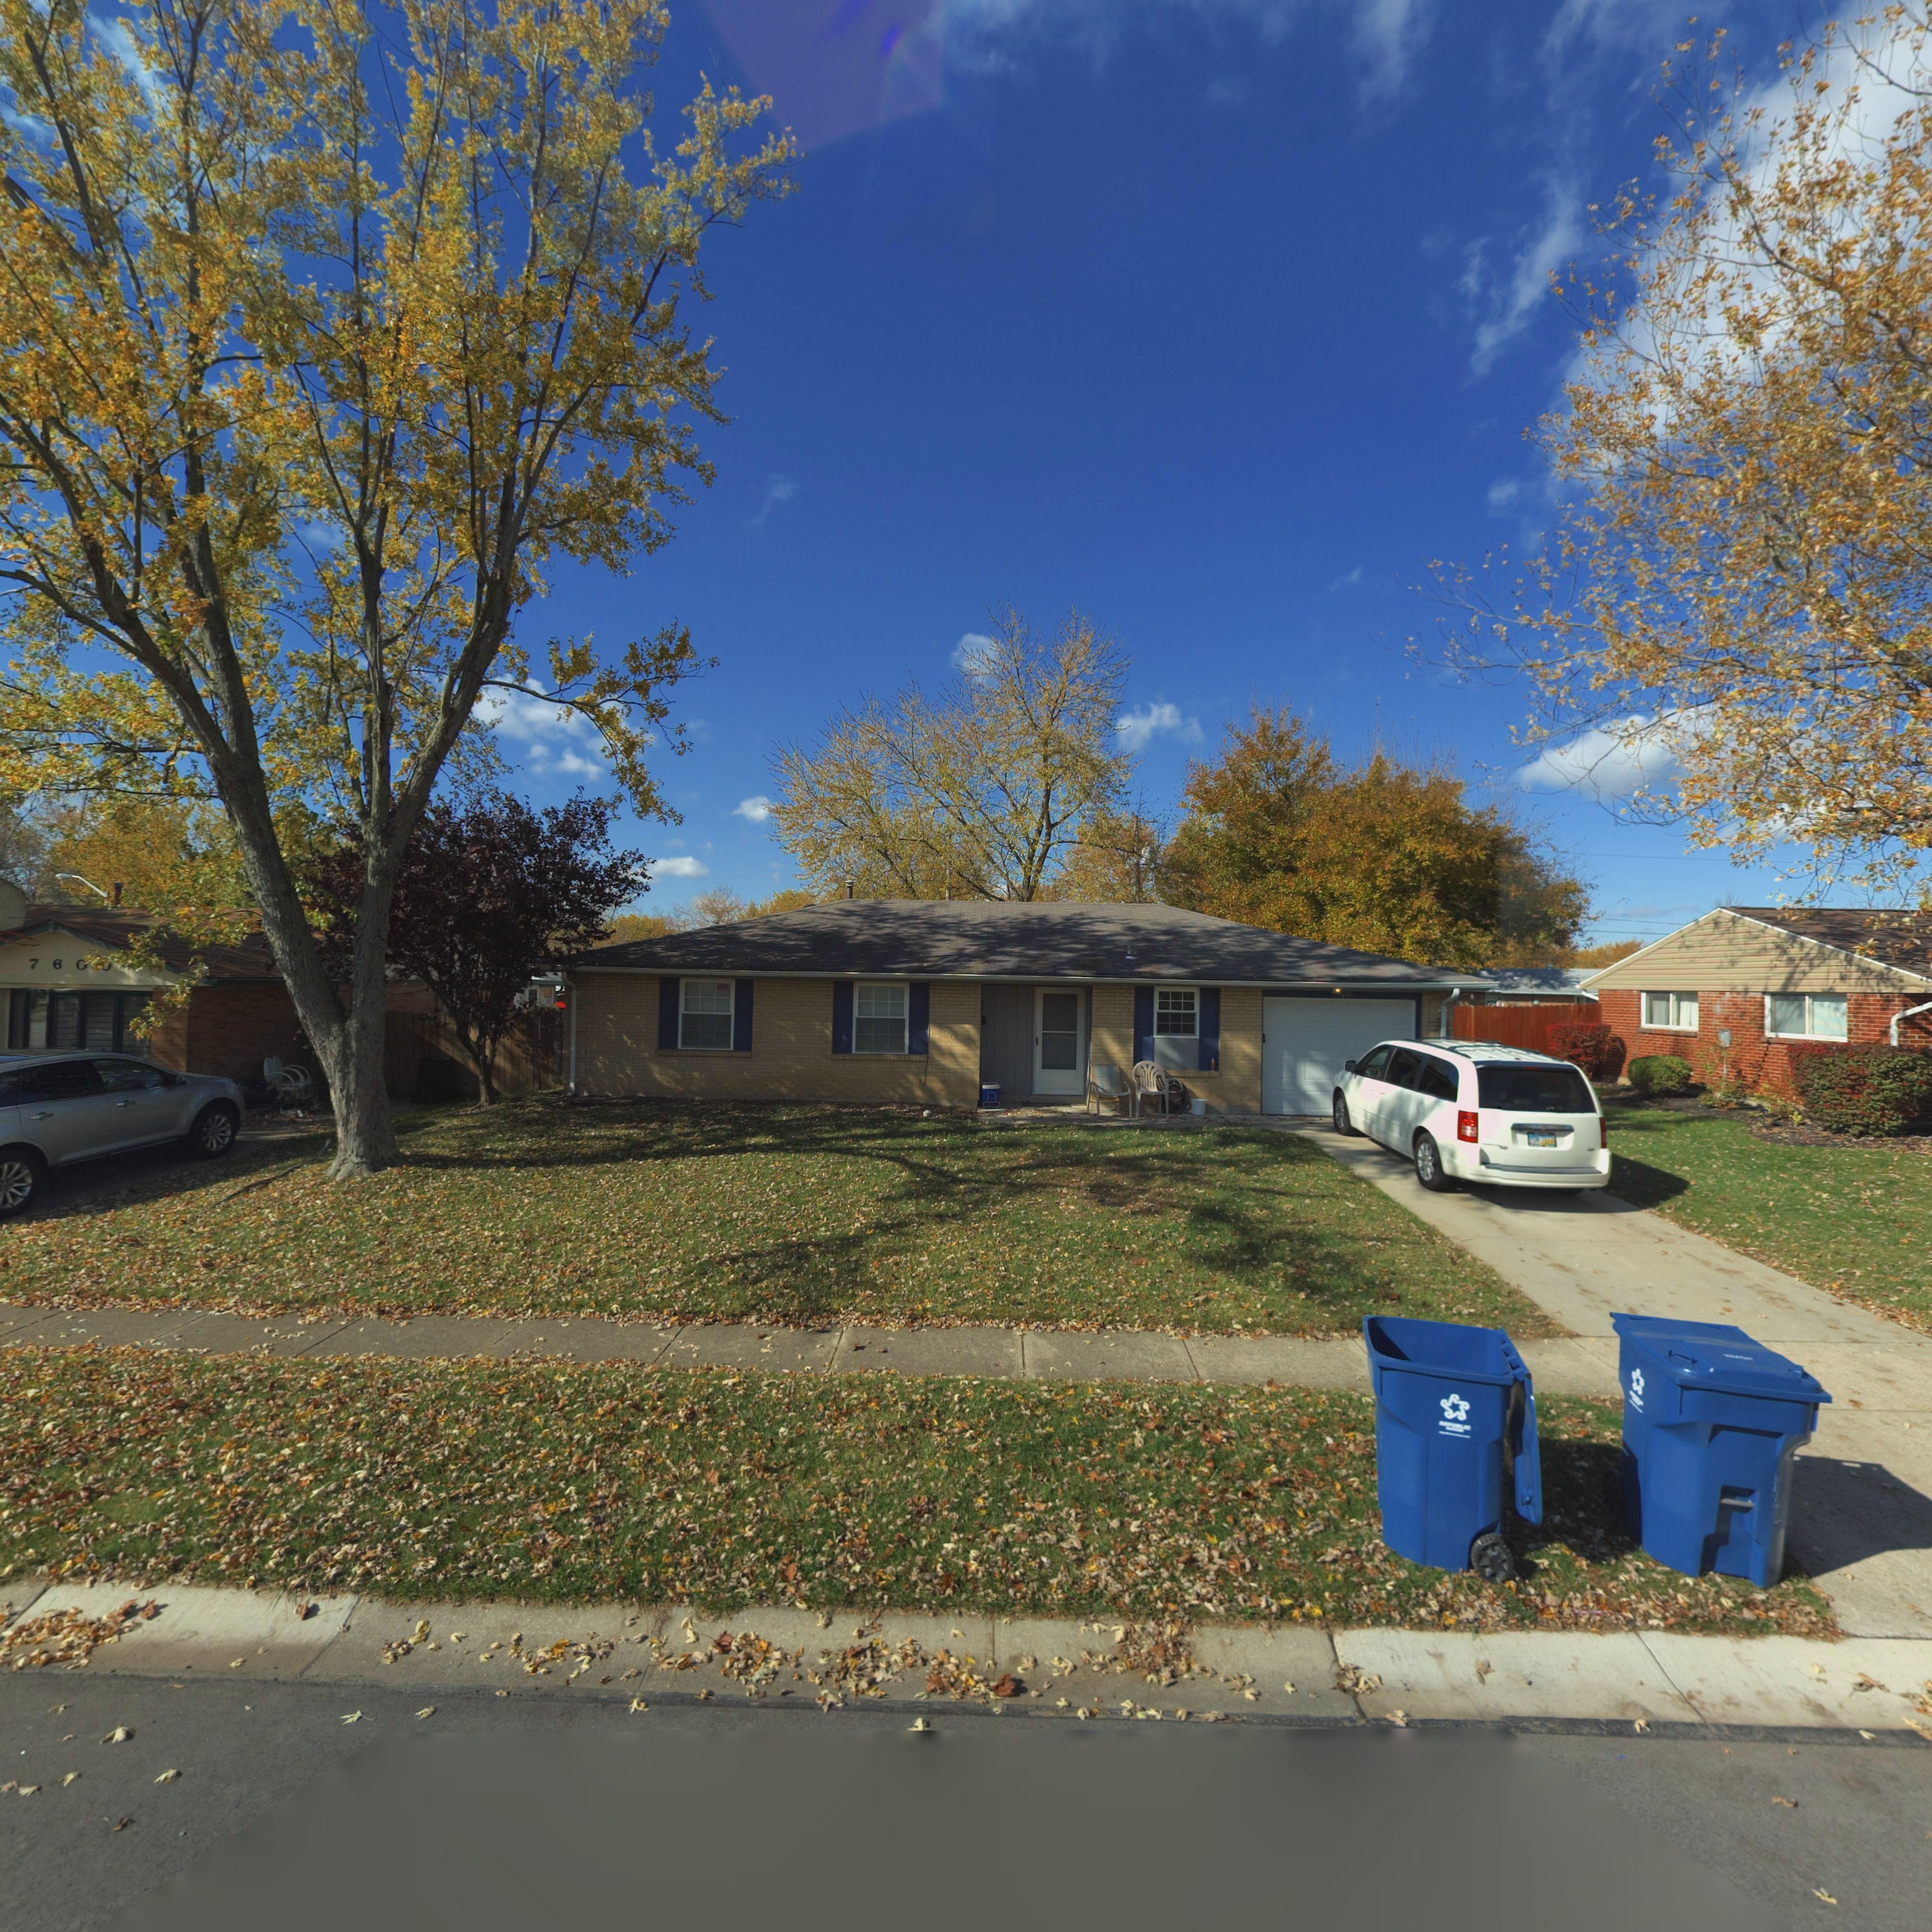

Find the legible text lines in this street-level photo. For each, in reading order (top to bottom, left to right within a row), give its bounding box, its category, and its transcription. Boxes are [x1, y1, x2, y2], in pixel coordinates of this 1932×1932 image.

[28, 957, 89, 971] StreetNumber: 76*